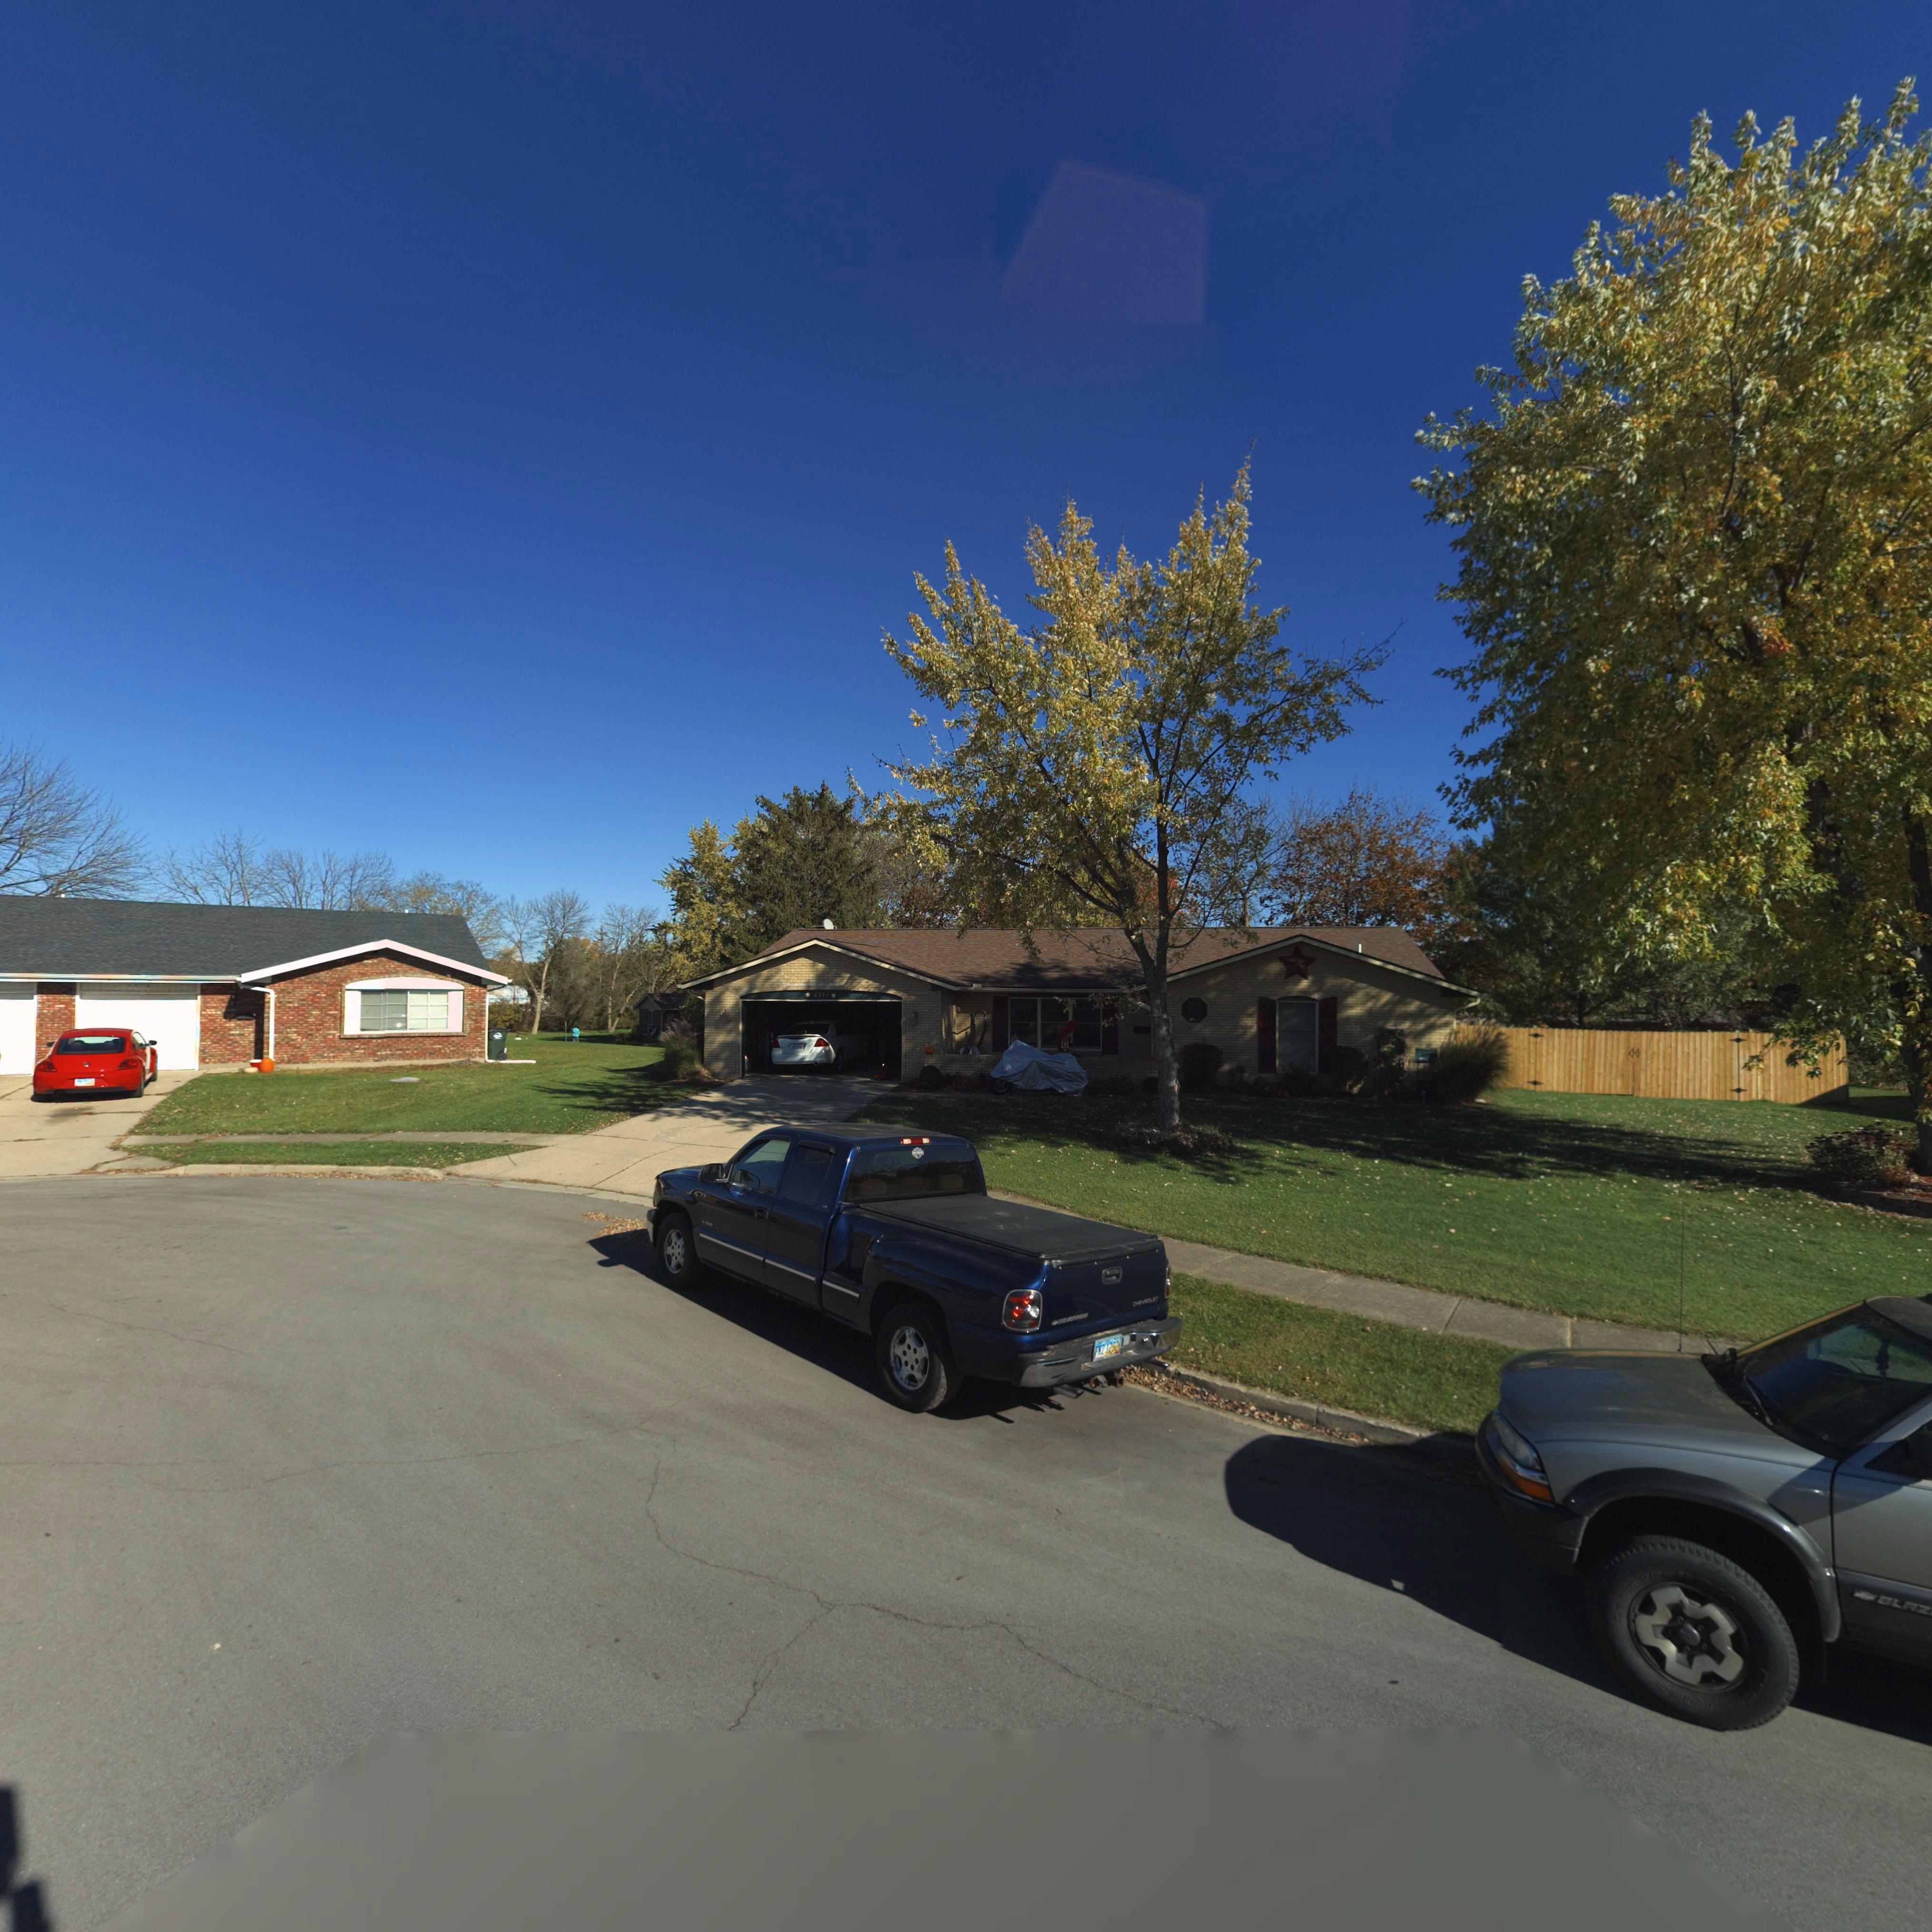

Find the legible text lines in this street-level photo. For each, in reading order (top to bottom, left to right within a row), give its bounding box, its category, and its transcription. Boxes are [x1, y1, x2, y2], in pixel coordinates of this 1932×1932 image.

[127, 983, 150, 988] StreetNumber: 437*
[813, 992, 829, 998] StreetNumber: 4371